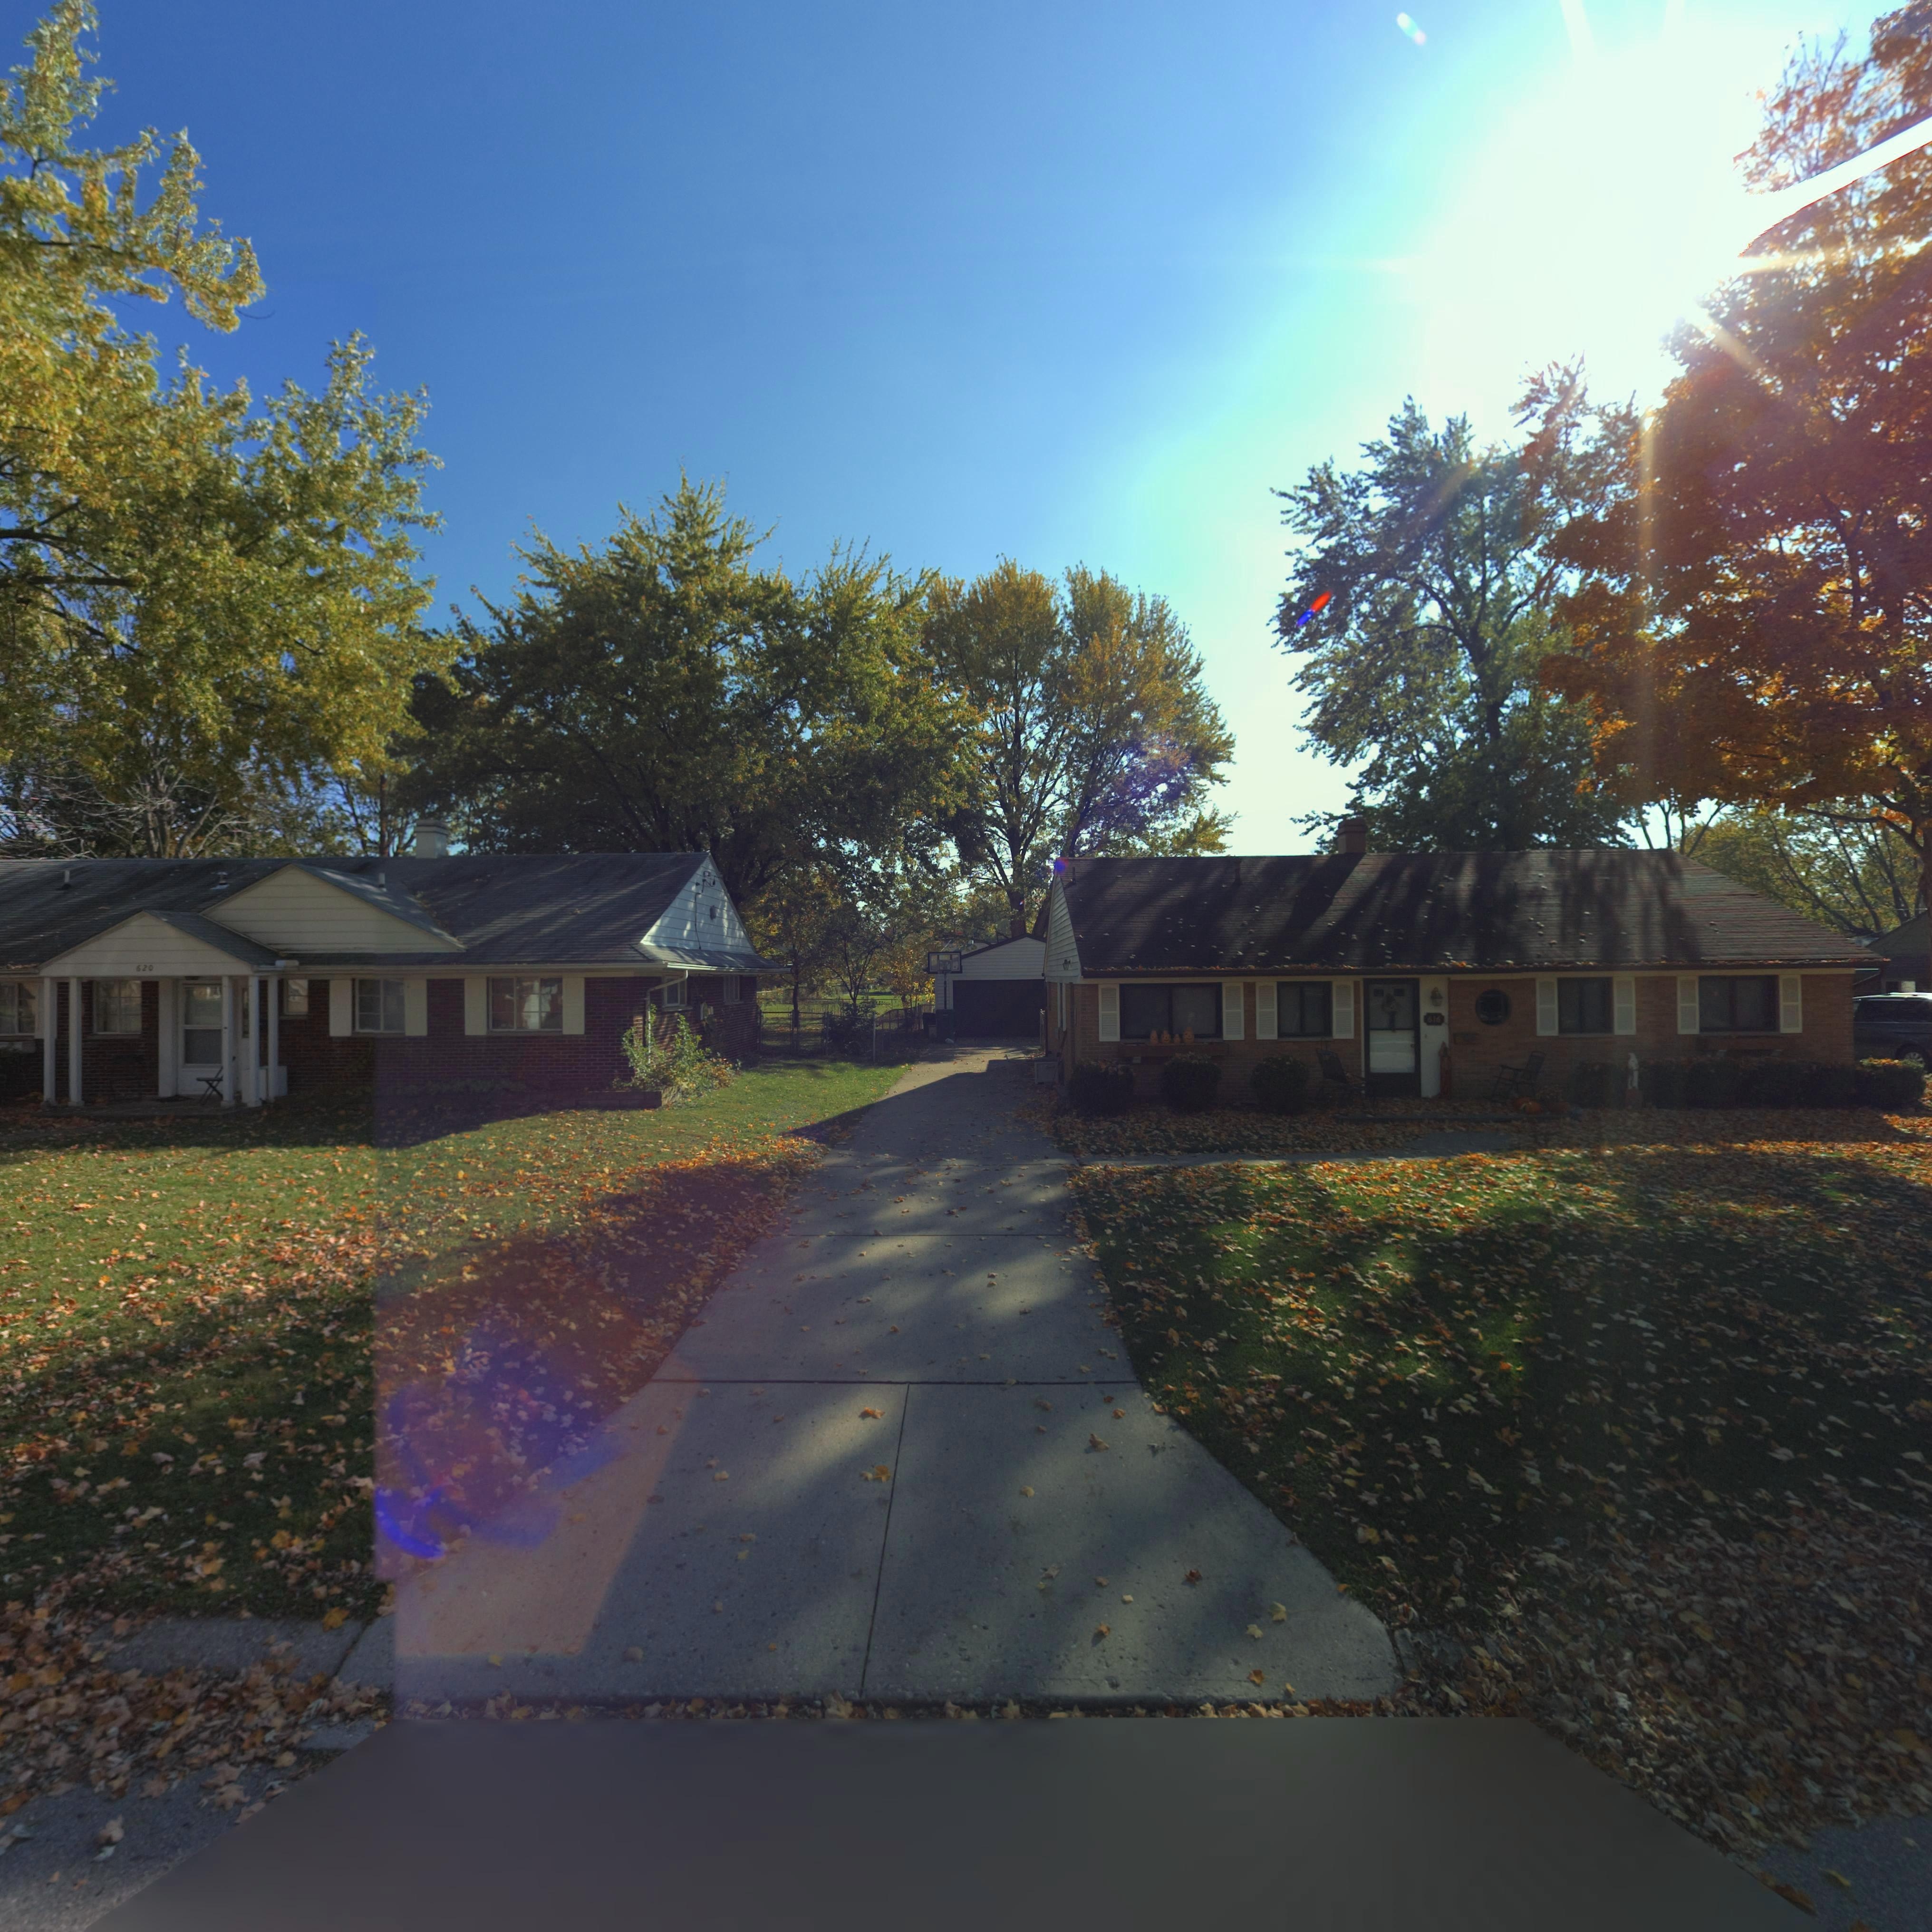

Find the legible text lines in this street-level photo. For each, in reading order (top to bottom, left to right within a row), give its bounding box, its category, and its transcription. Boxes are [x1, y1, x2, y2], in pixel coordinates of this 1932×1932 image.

[136, 964, 154, 972] StreetNumber: 620
[1427, 1015, 1441, 1023] StreetNumber: 616